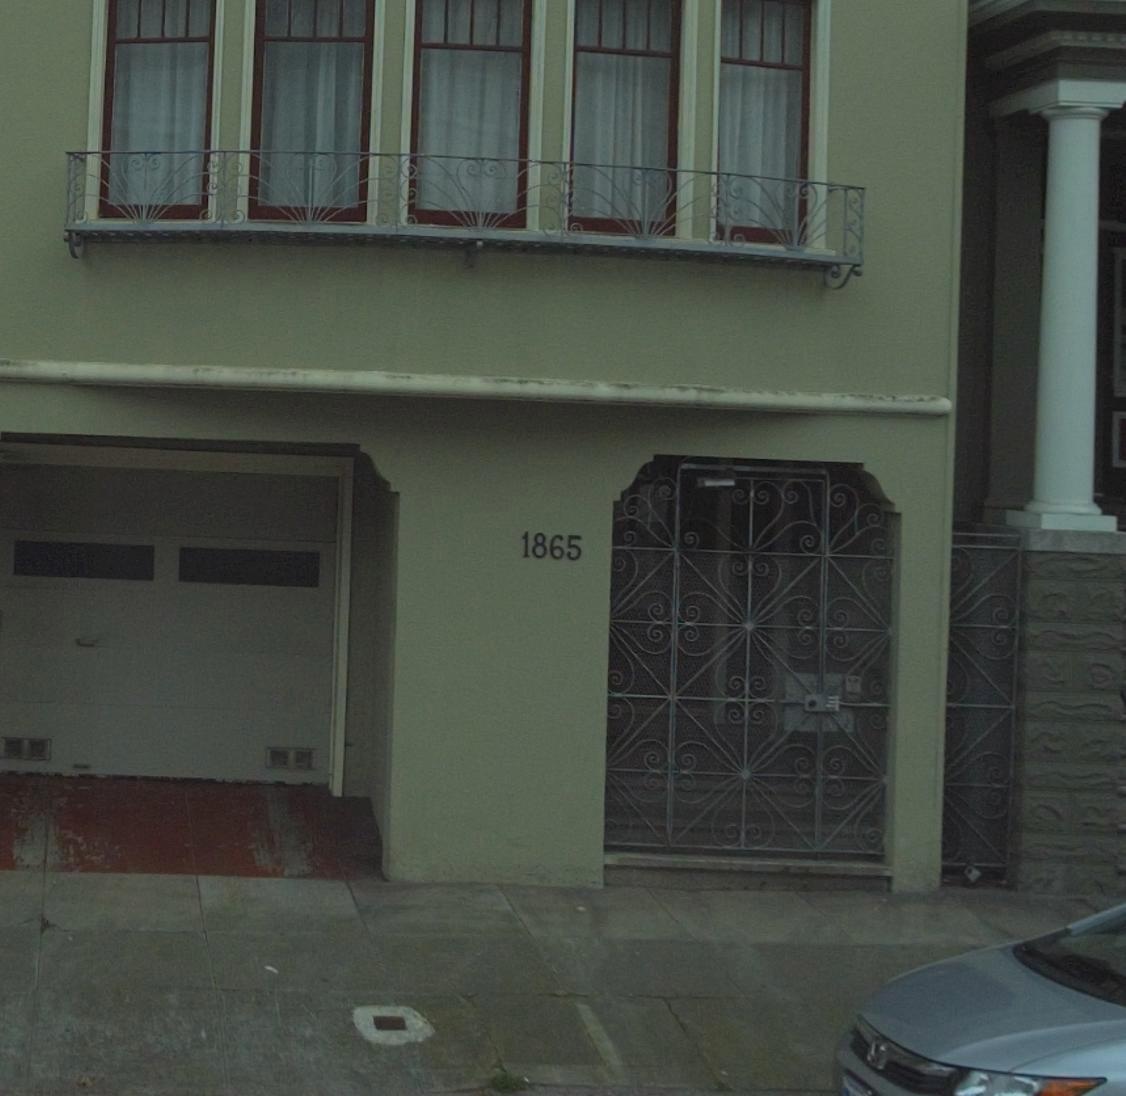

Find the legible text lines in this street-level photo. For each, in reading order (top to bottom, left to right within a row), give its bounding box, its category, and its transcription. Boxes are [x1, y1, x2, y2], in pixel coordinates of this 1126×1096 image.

[519, 528, 582, 563] StreetNumber: 1865